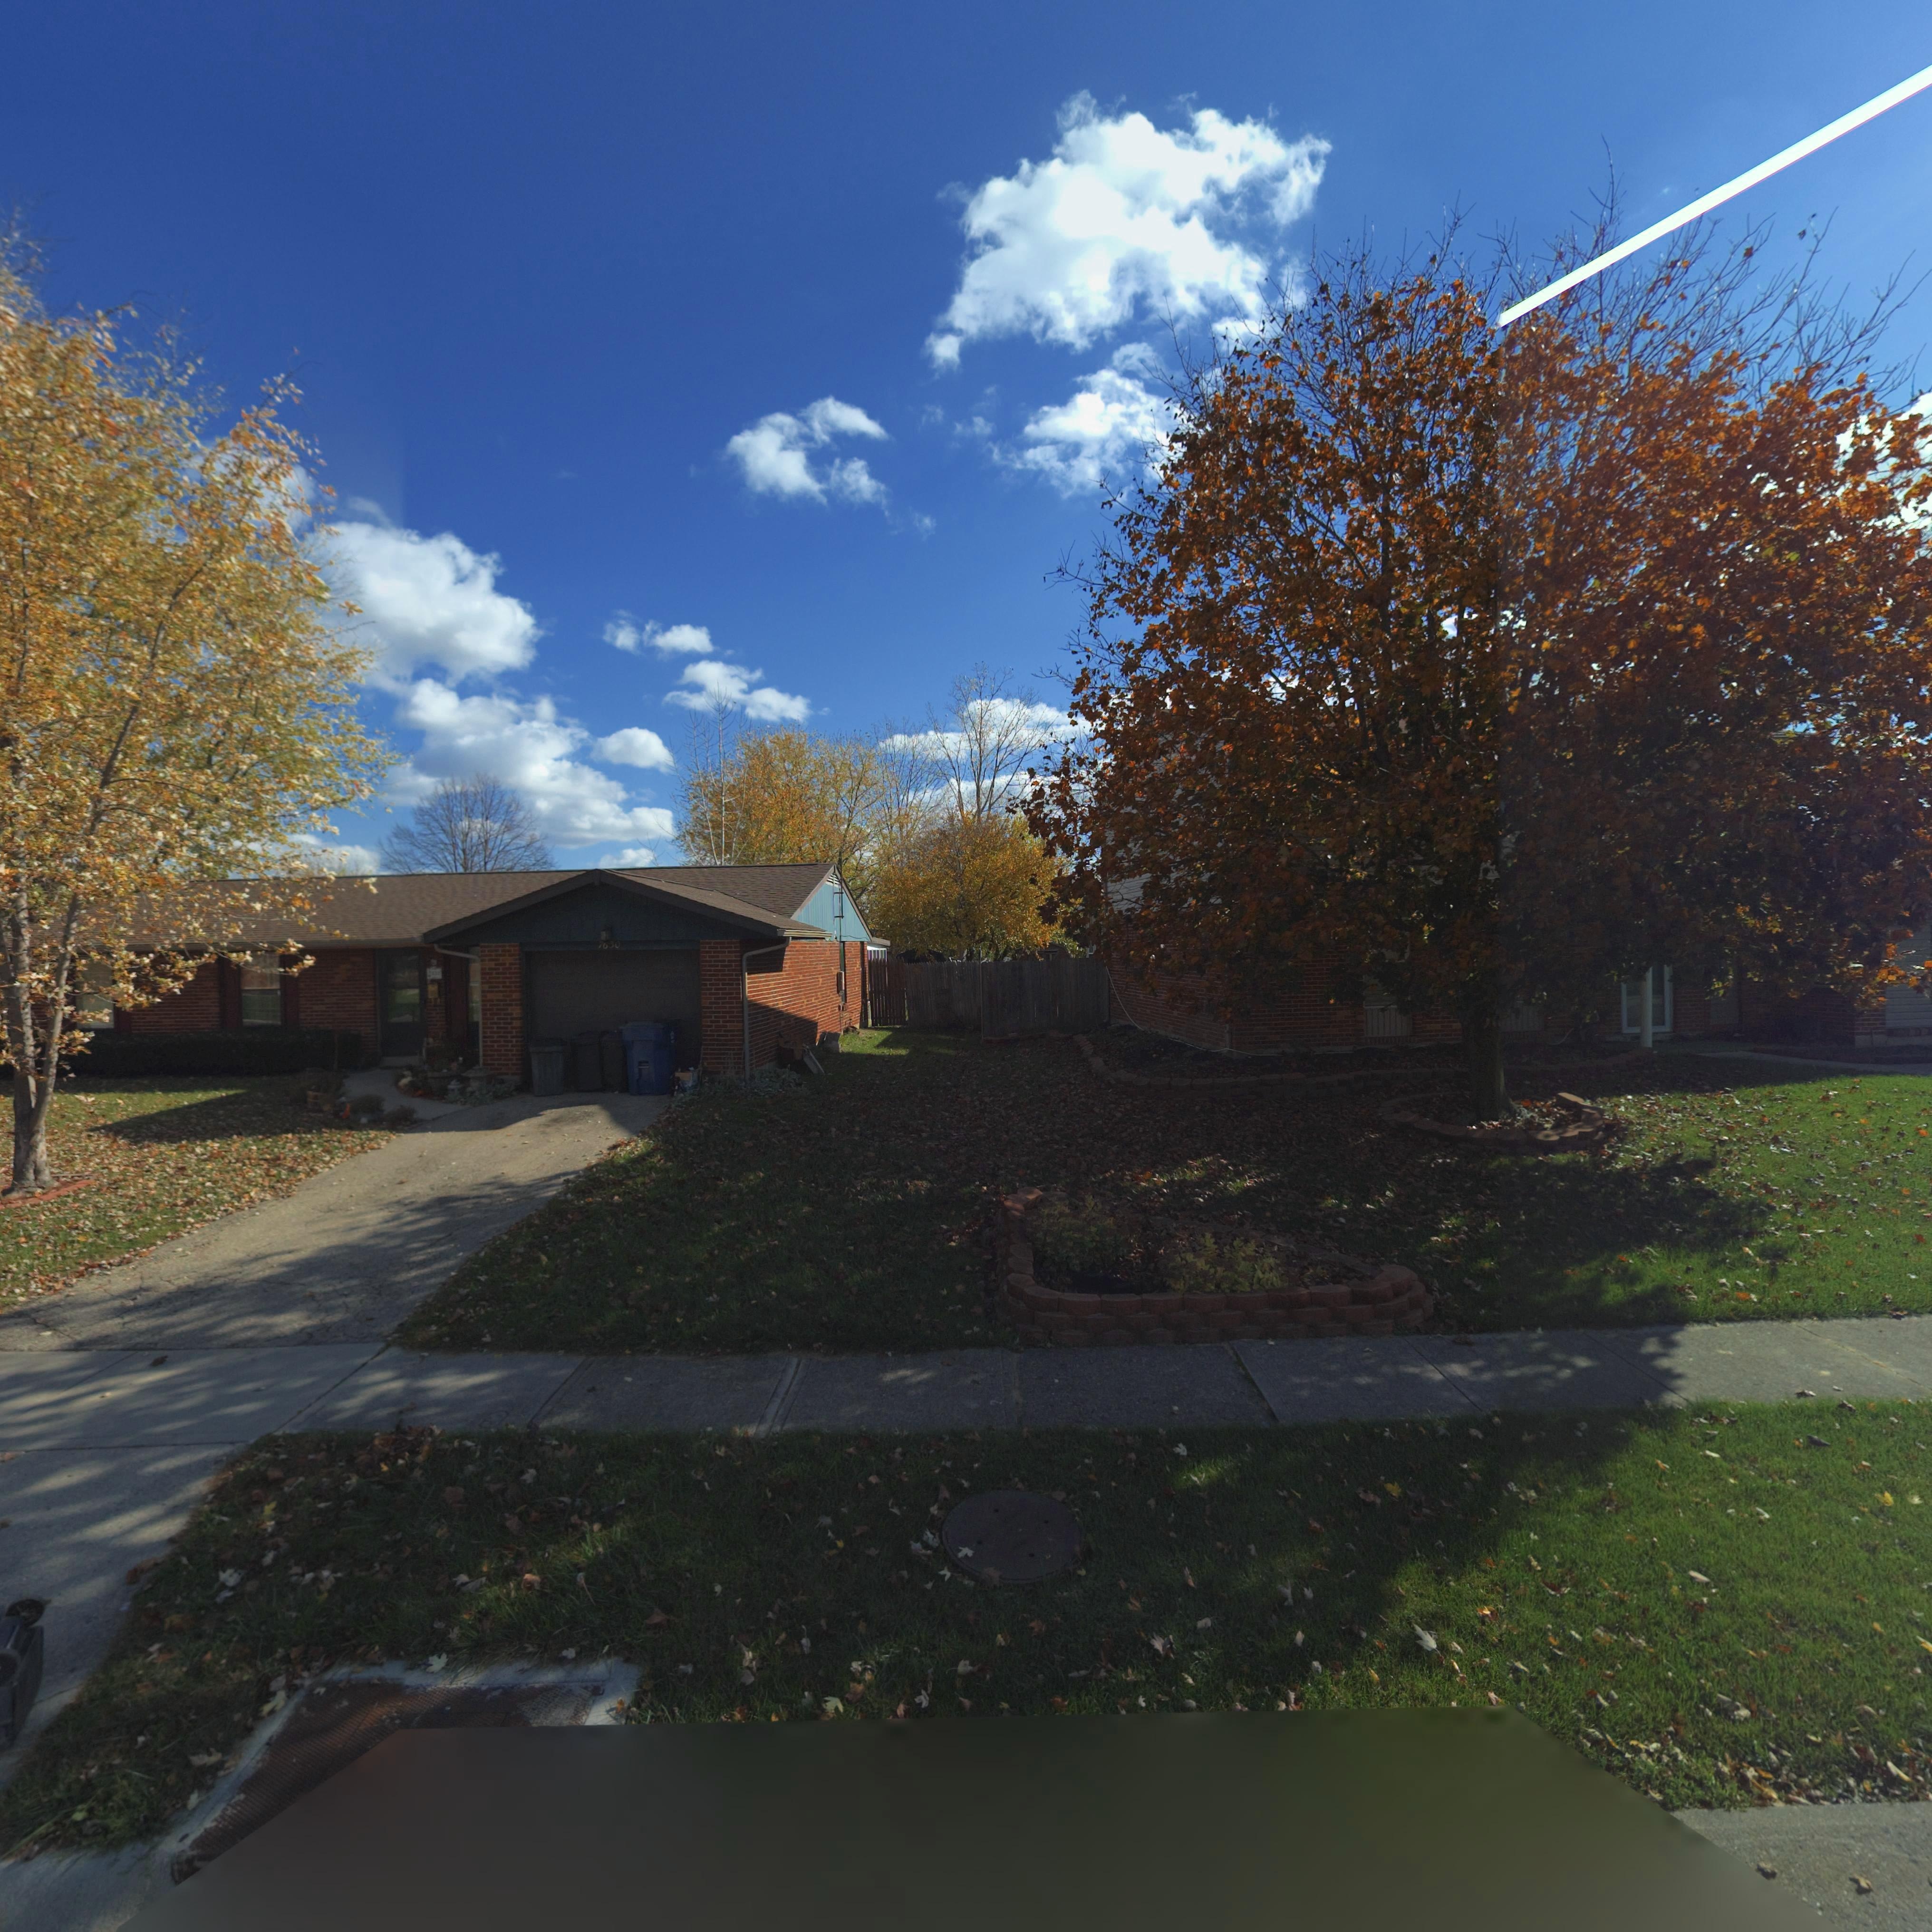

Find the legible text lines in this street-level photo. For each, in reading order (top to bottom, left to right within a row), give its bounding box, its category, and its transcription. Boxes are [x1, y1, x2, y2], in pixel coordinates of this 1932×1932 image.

[597, 939, 622, 950] StreetNumber: 7630